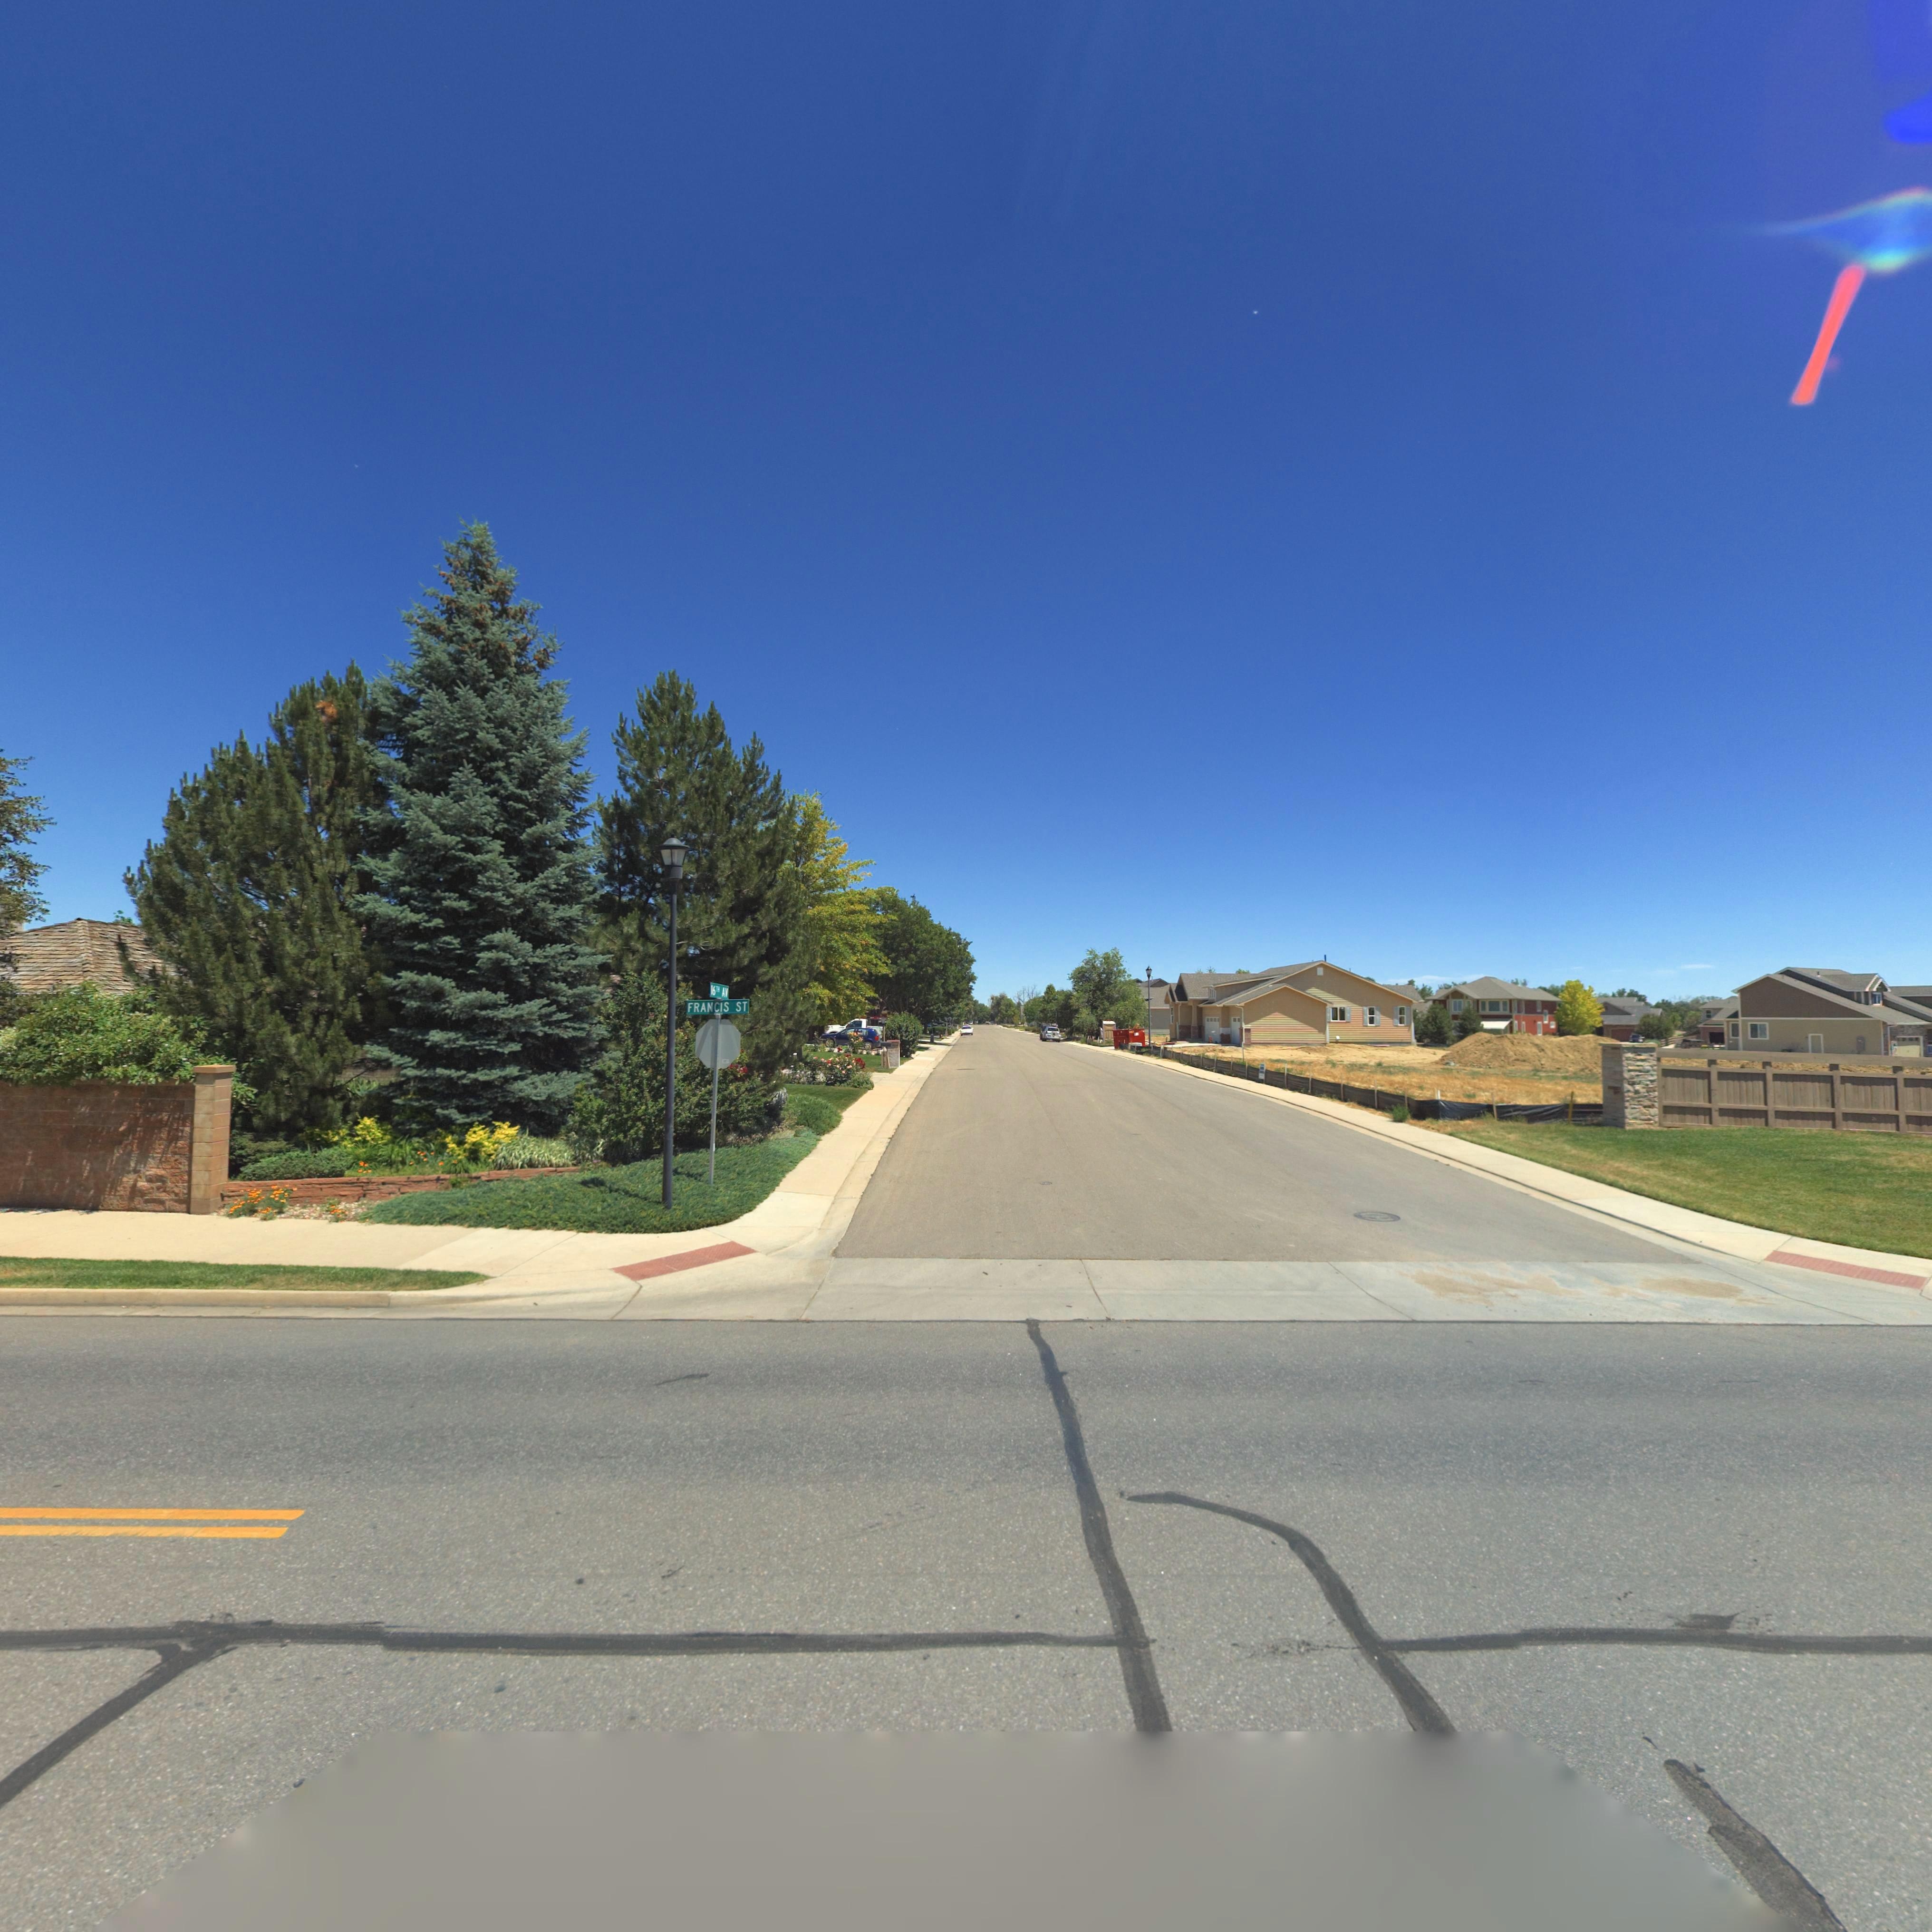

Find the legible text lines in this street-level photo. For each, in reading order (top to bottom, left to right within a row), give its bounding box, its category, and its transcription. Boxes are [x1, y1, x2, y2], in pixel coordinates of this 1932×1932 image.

[710, 985, 728, 998] StreetName: 16TH AV
[687, 1001, 748, 1013] StreetName: FRANCIS ST